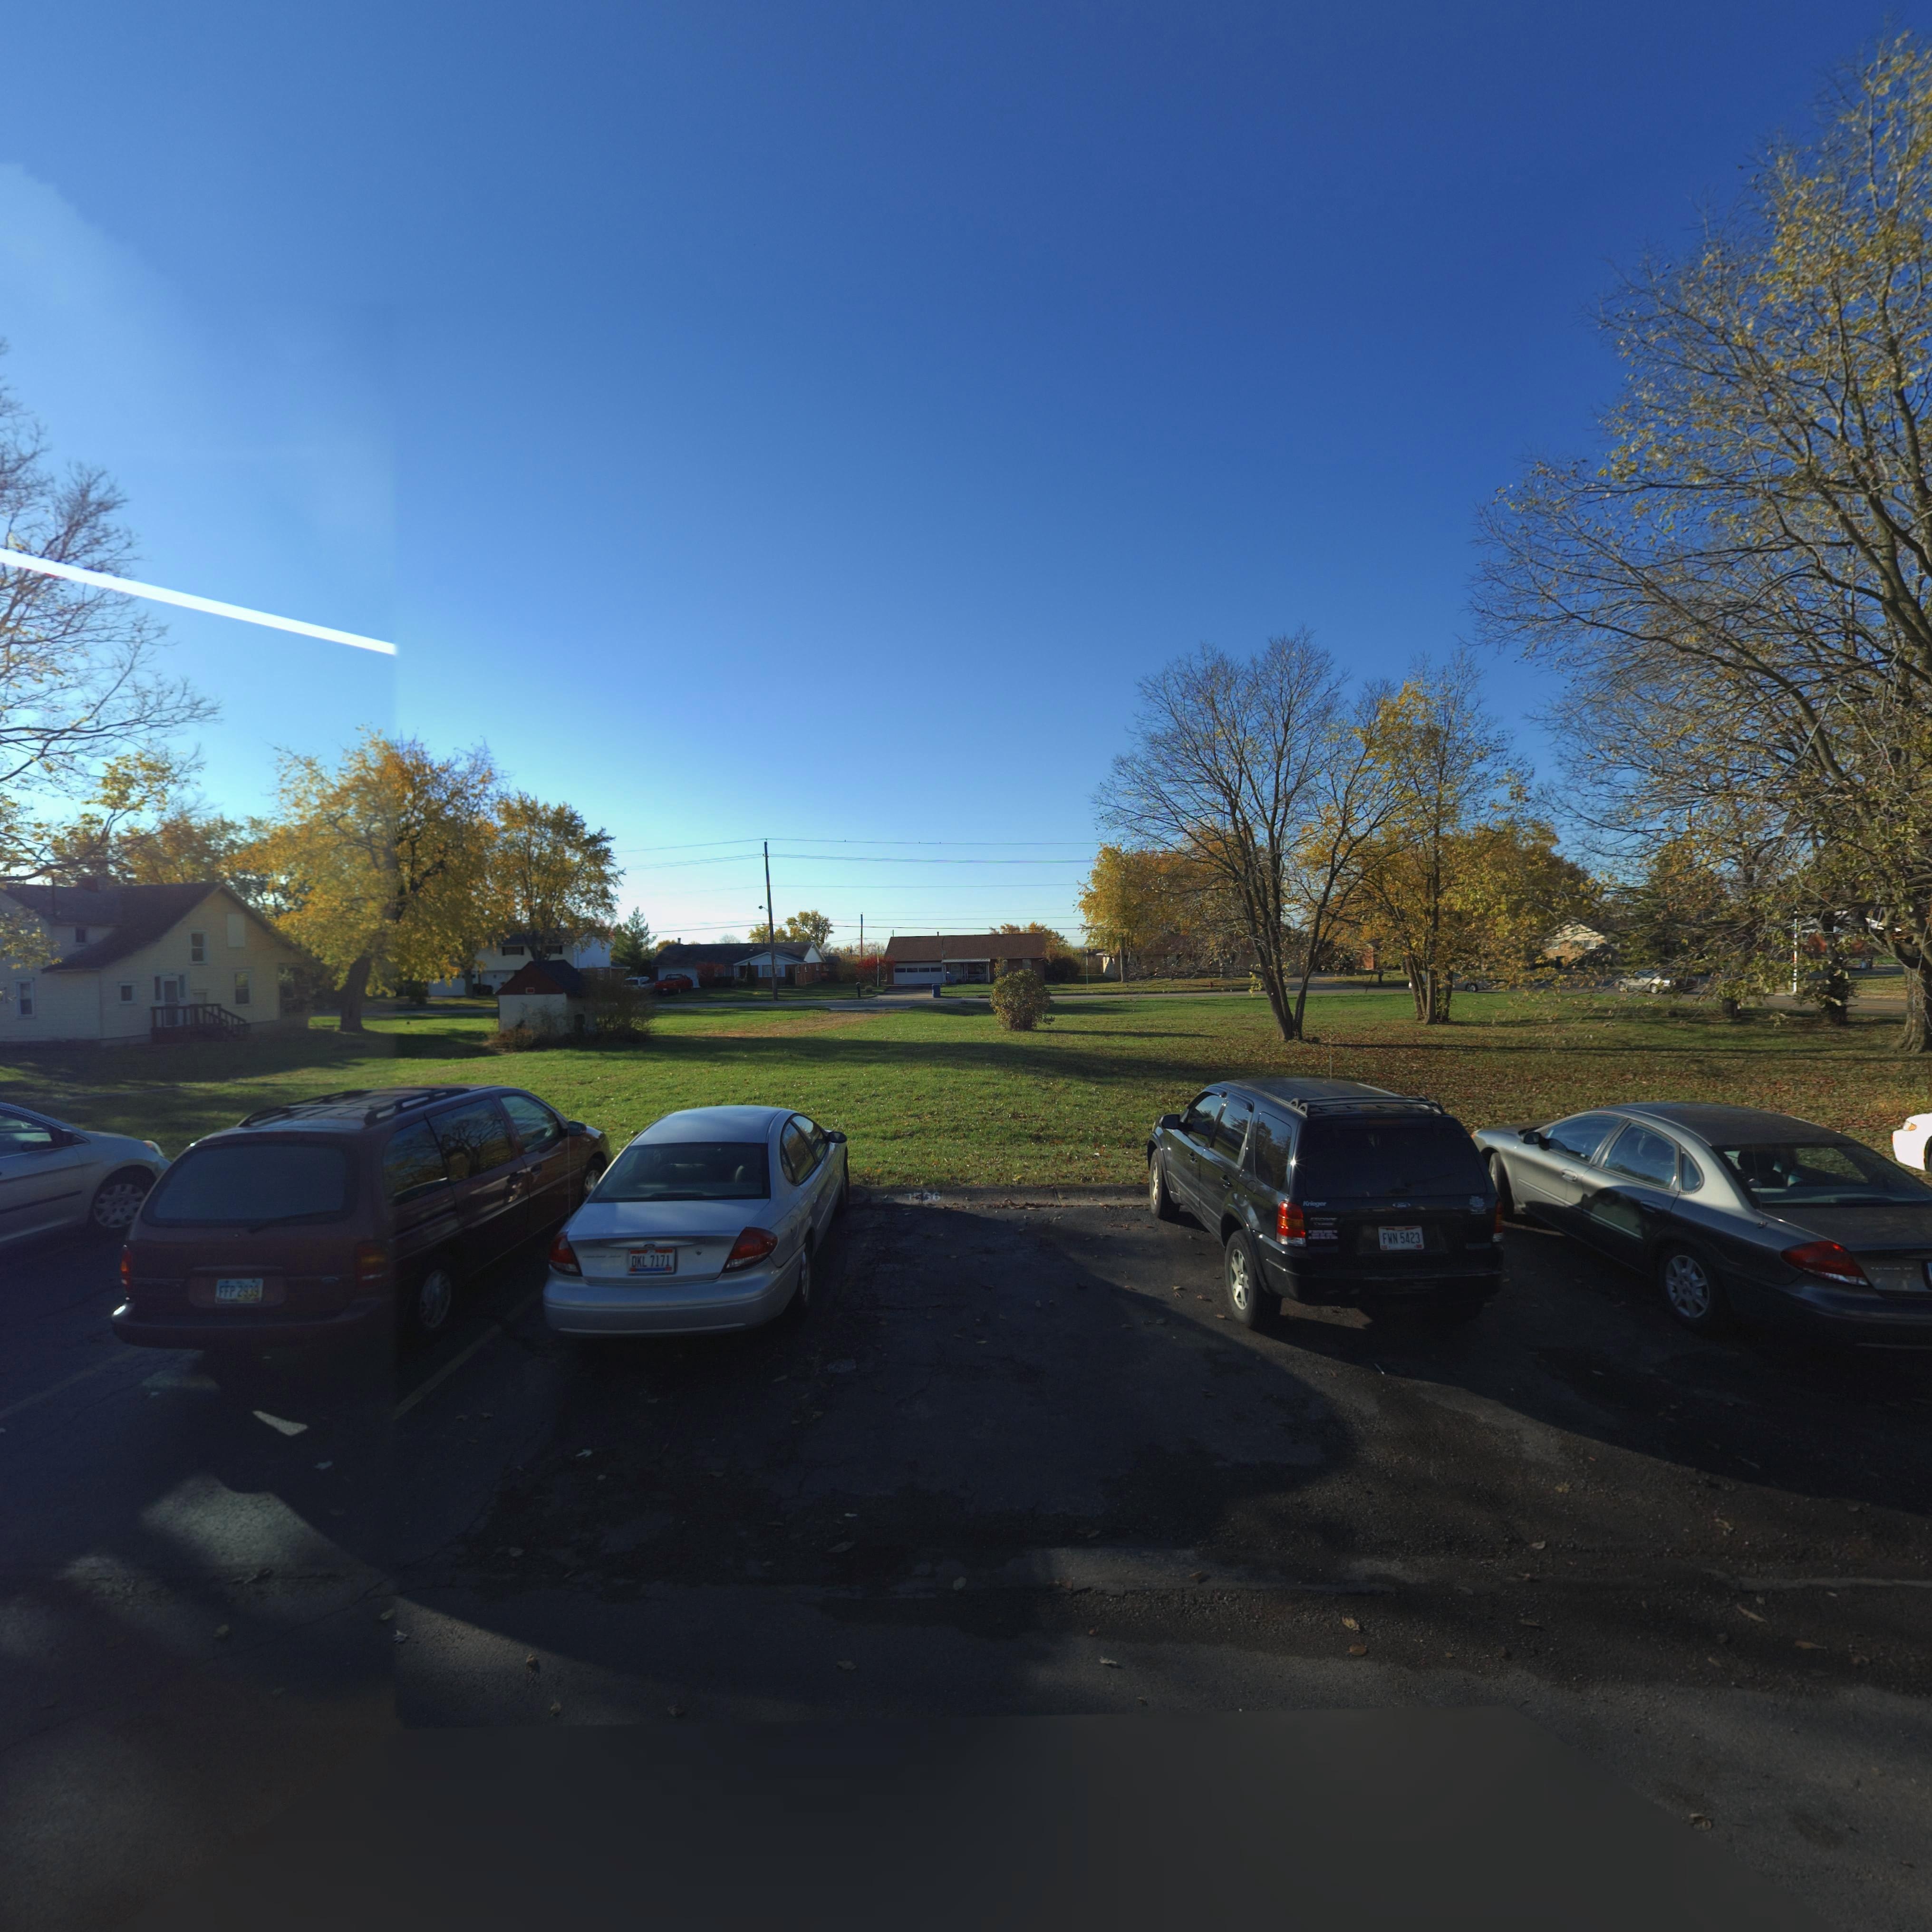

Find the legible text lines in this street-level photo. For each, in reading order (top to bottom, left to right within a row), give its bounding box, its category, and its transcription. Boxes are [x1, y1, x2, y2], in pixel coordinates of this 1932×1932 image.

[902, 1191, 942, 1202] StreetNumber: 7**6
[1381, 1231, 1421, 1246] None: FWN 5423
[630, 1254, 672, 1269] None: DKL 7171
[216, 1284, 262, 1300] None: FFP 2939